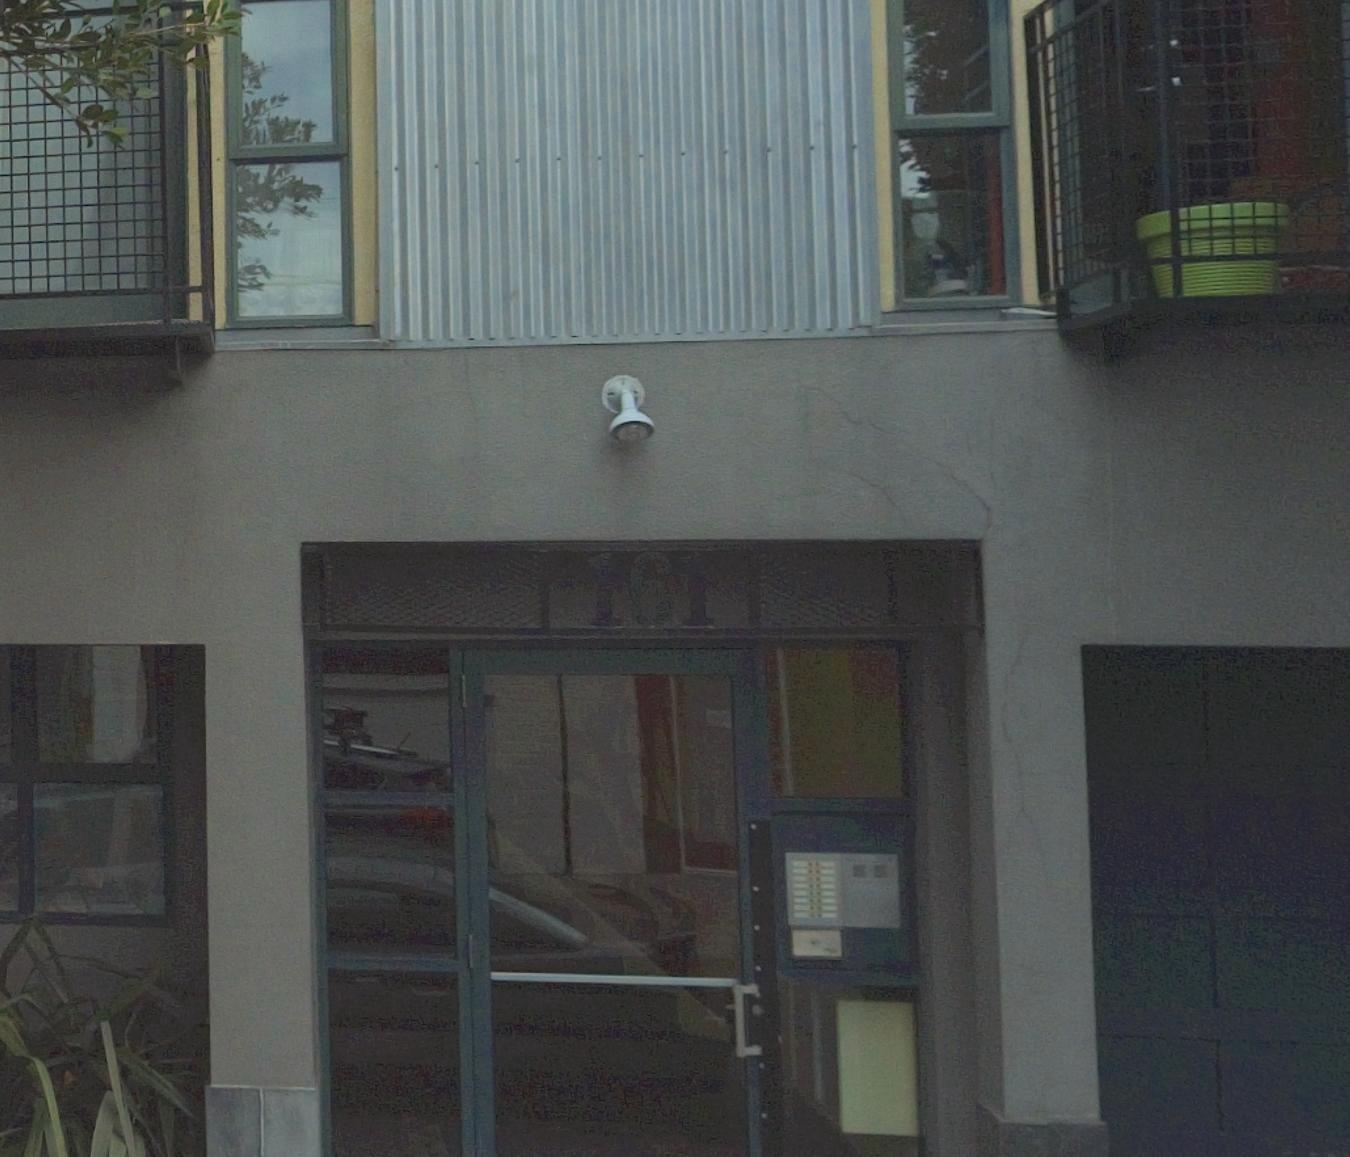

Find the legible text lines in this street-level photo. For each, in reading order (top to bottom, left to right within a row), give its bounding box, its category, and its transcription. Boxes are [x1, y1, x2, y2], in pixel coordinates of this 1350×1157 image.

[585, 548, 720, 630] StreetNumber: 161